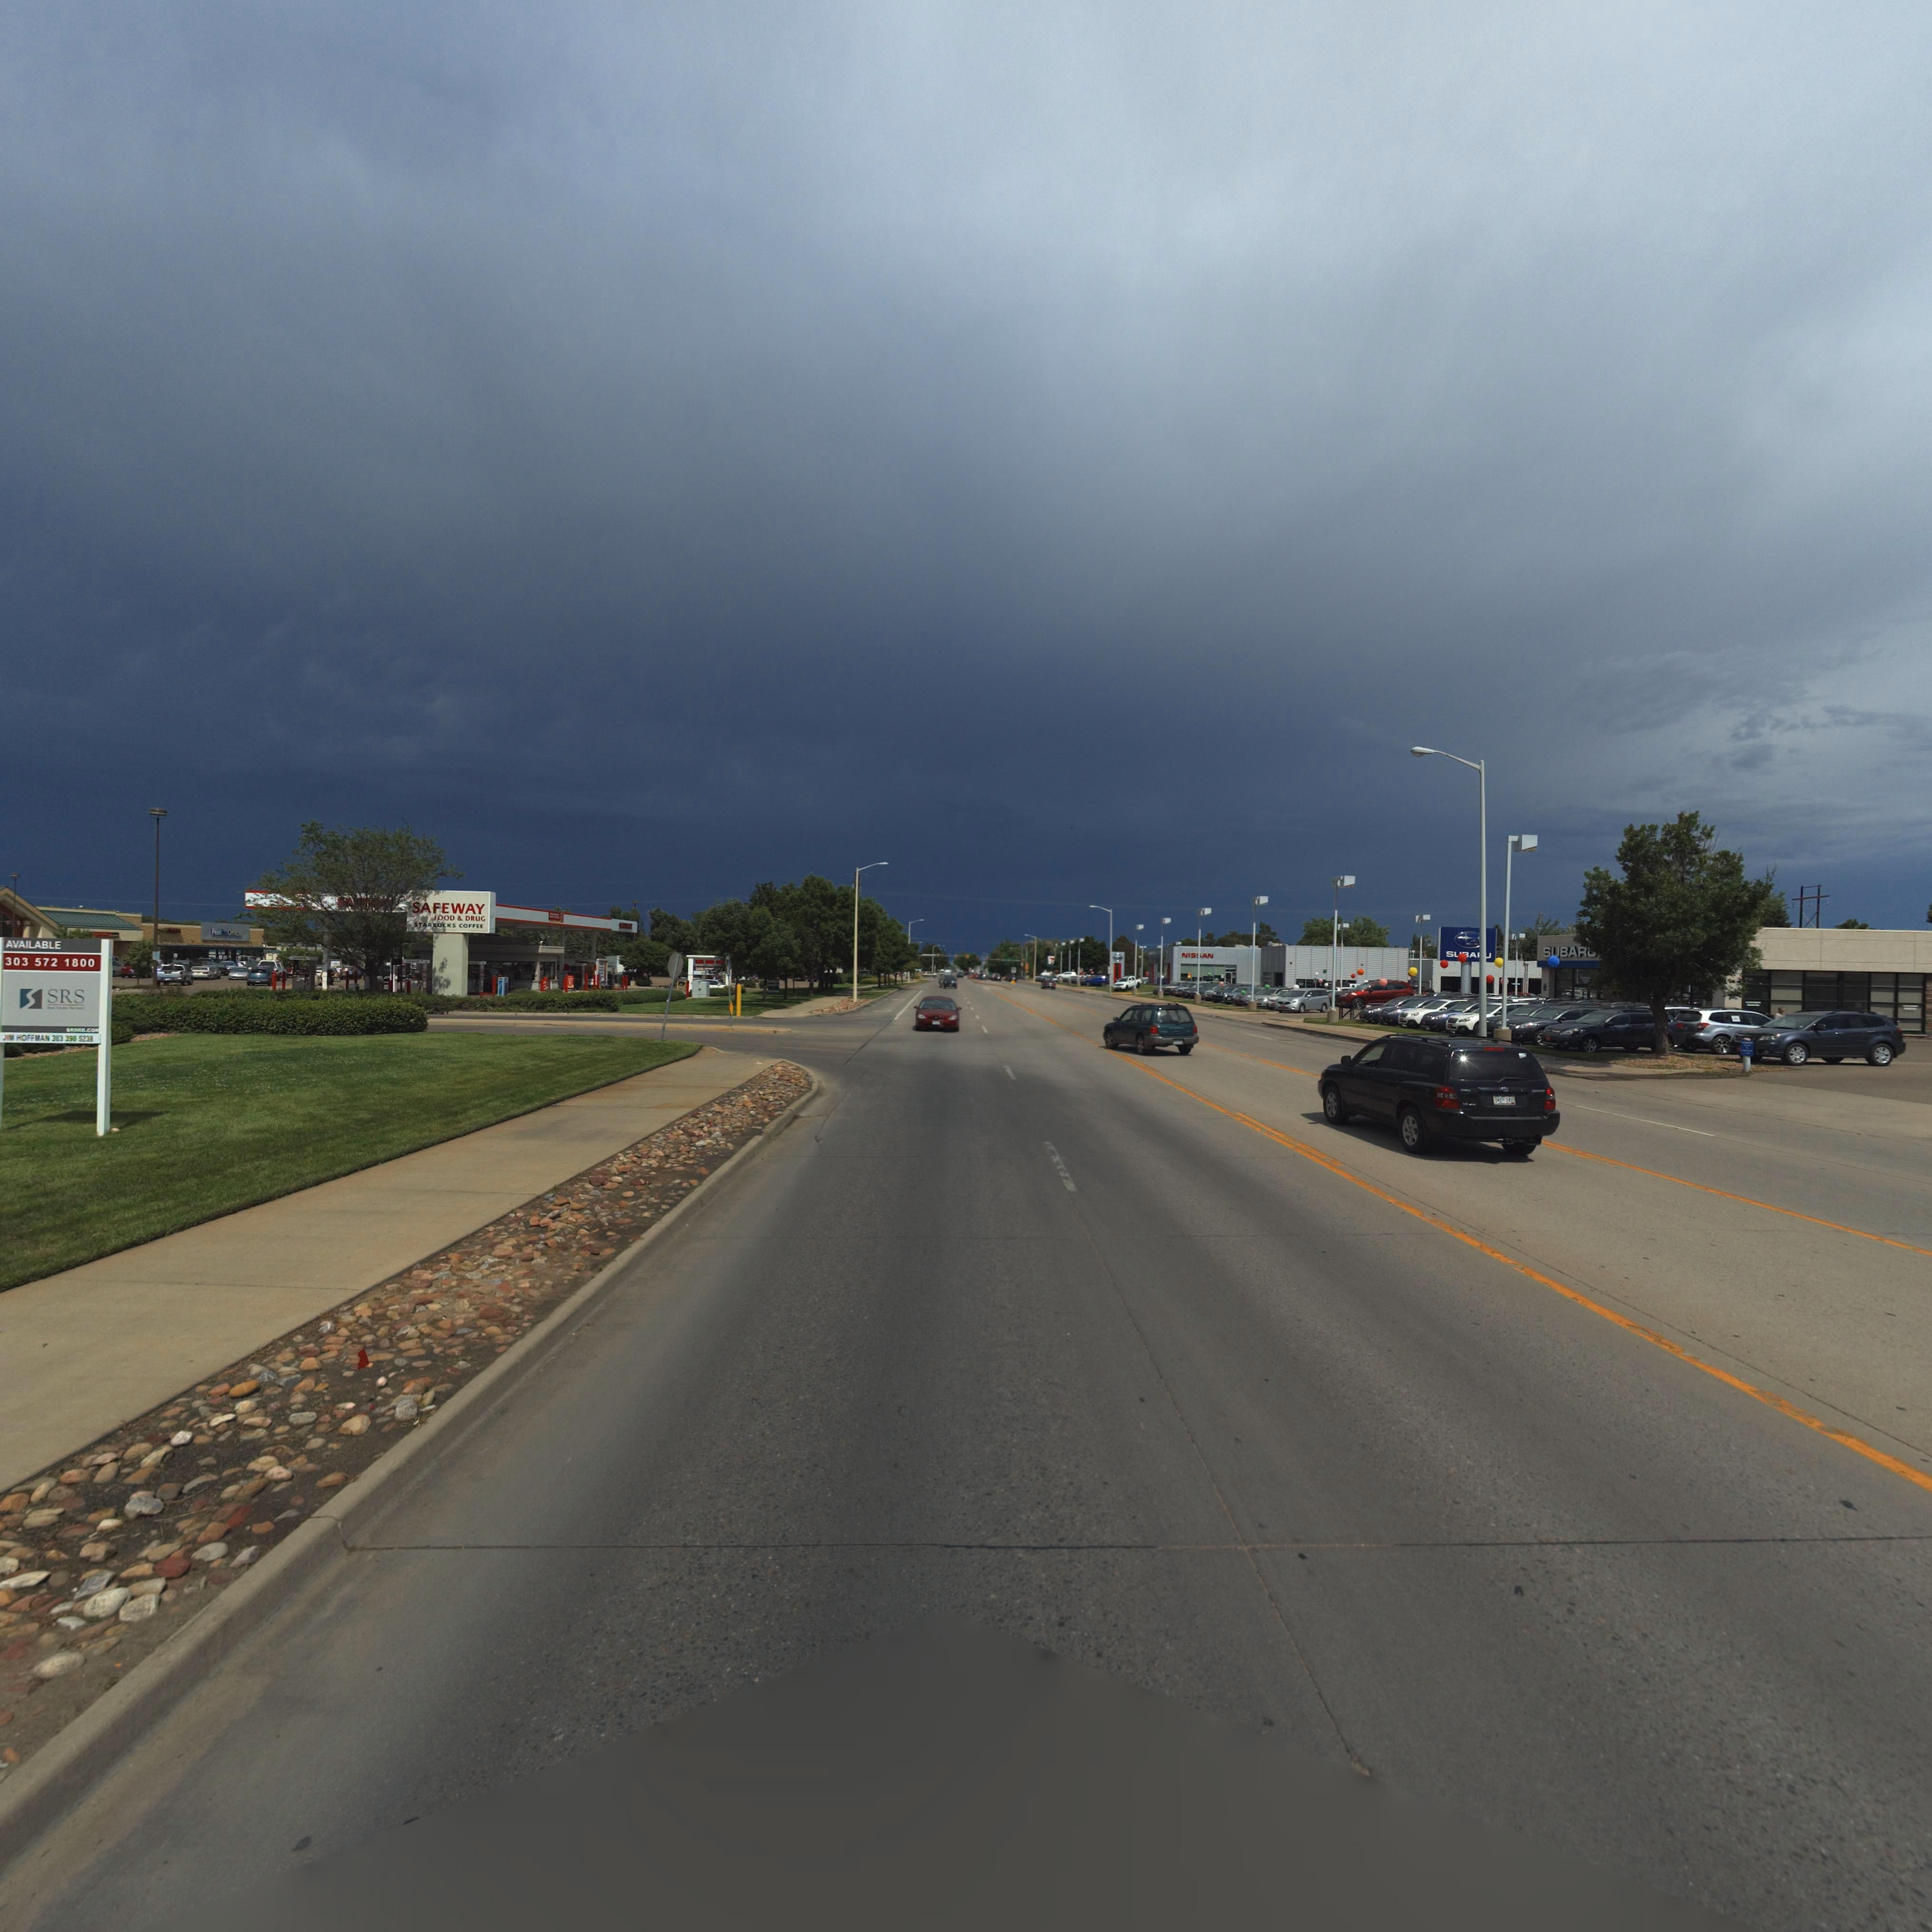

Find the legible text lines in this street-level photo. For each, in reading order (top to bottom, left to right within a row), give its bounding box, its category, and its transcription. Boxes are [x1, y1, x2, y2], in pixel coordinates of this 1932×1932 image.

[412, 901, 485, 915] BusinessName: SAFEWAY
[414, 922, 483, 928] BusinessName: STARBUCKS COFFEE
[618, 922, 633, 930] BusinessName: SA*****
[211, 927, 241, 936] BusinessName: FedEx Office
[1181, 952, 1214, 958] BusinessName: NIS*AN
[1445, 950, 1492, 958] BusinessName: S**A**
[1543, 946, 1598, 957] BusinessName: SUBAR*
[1049, 957, 1054, 964] BusinessName: 7